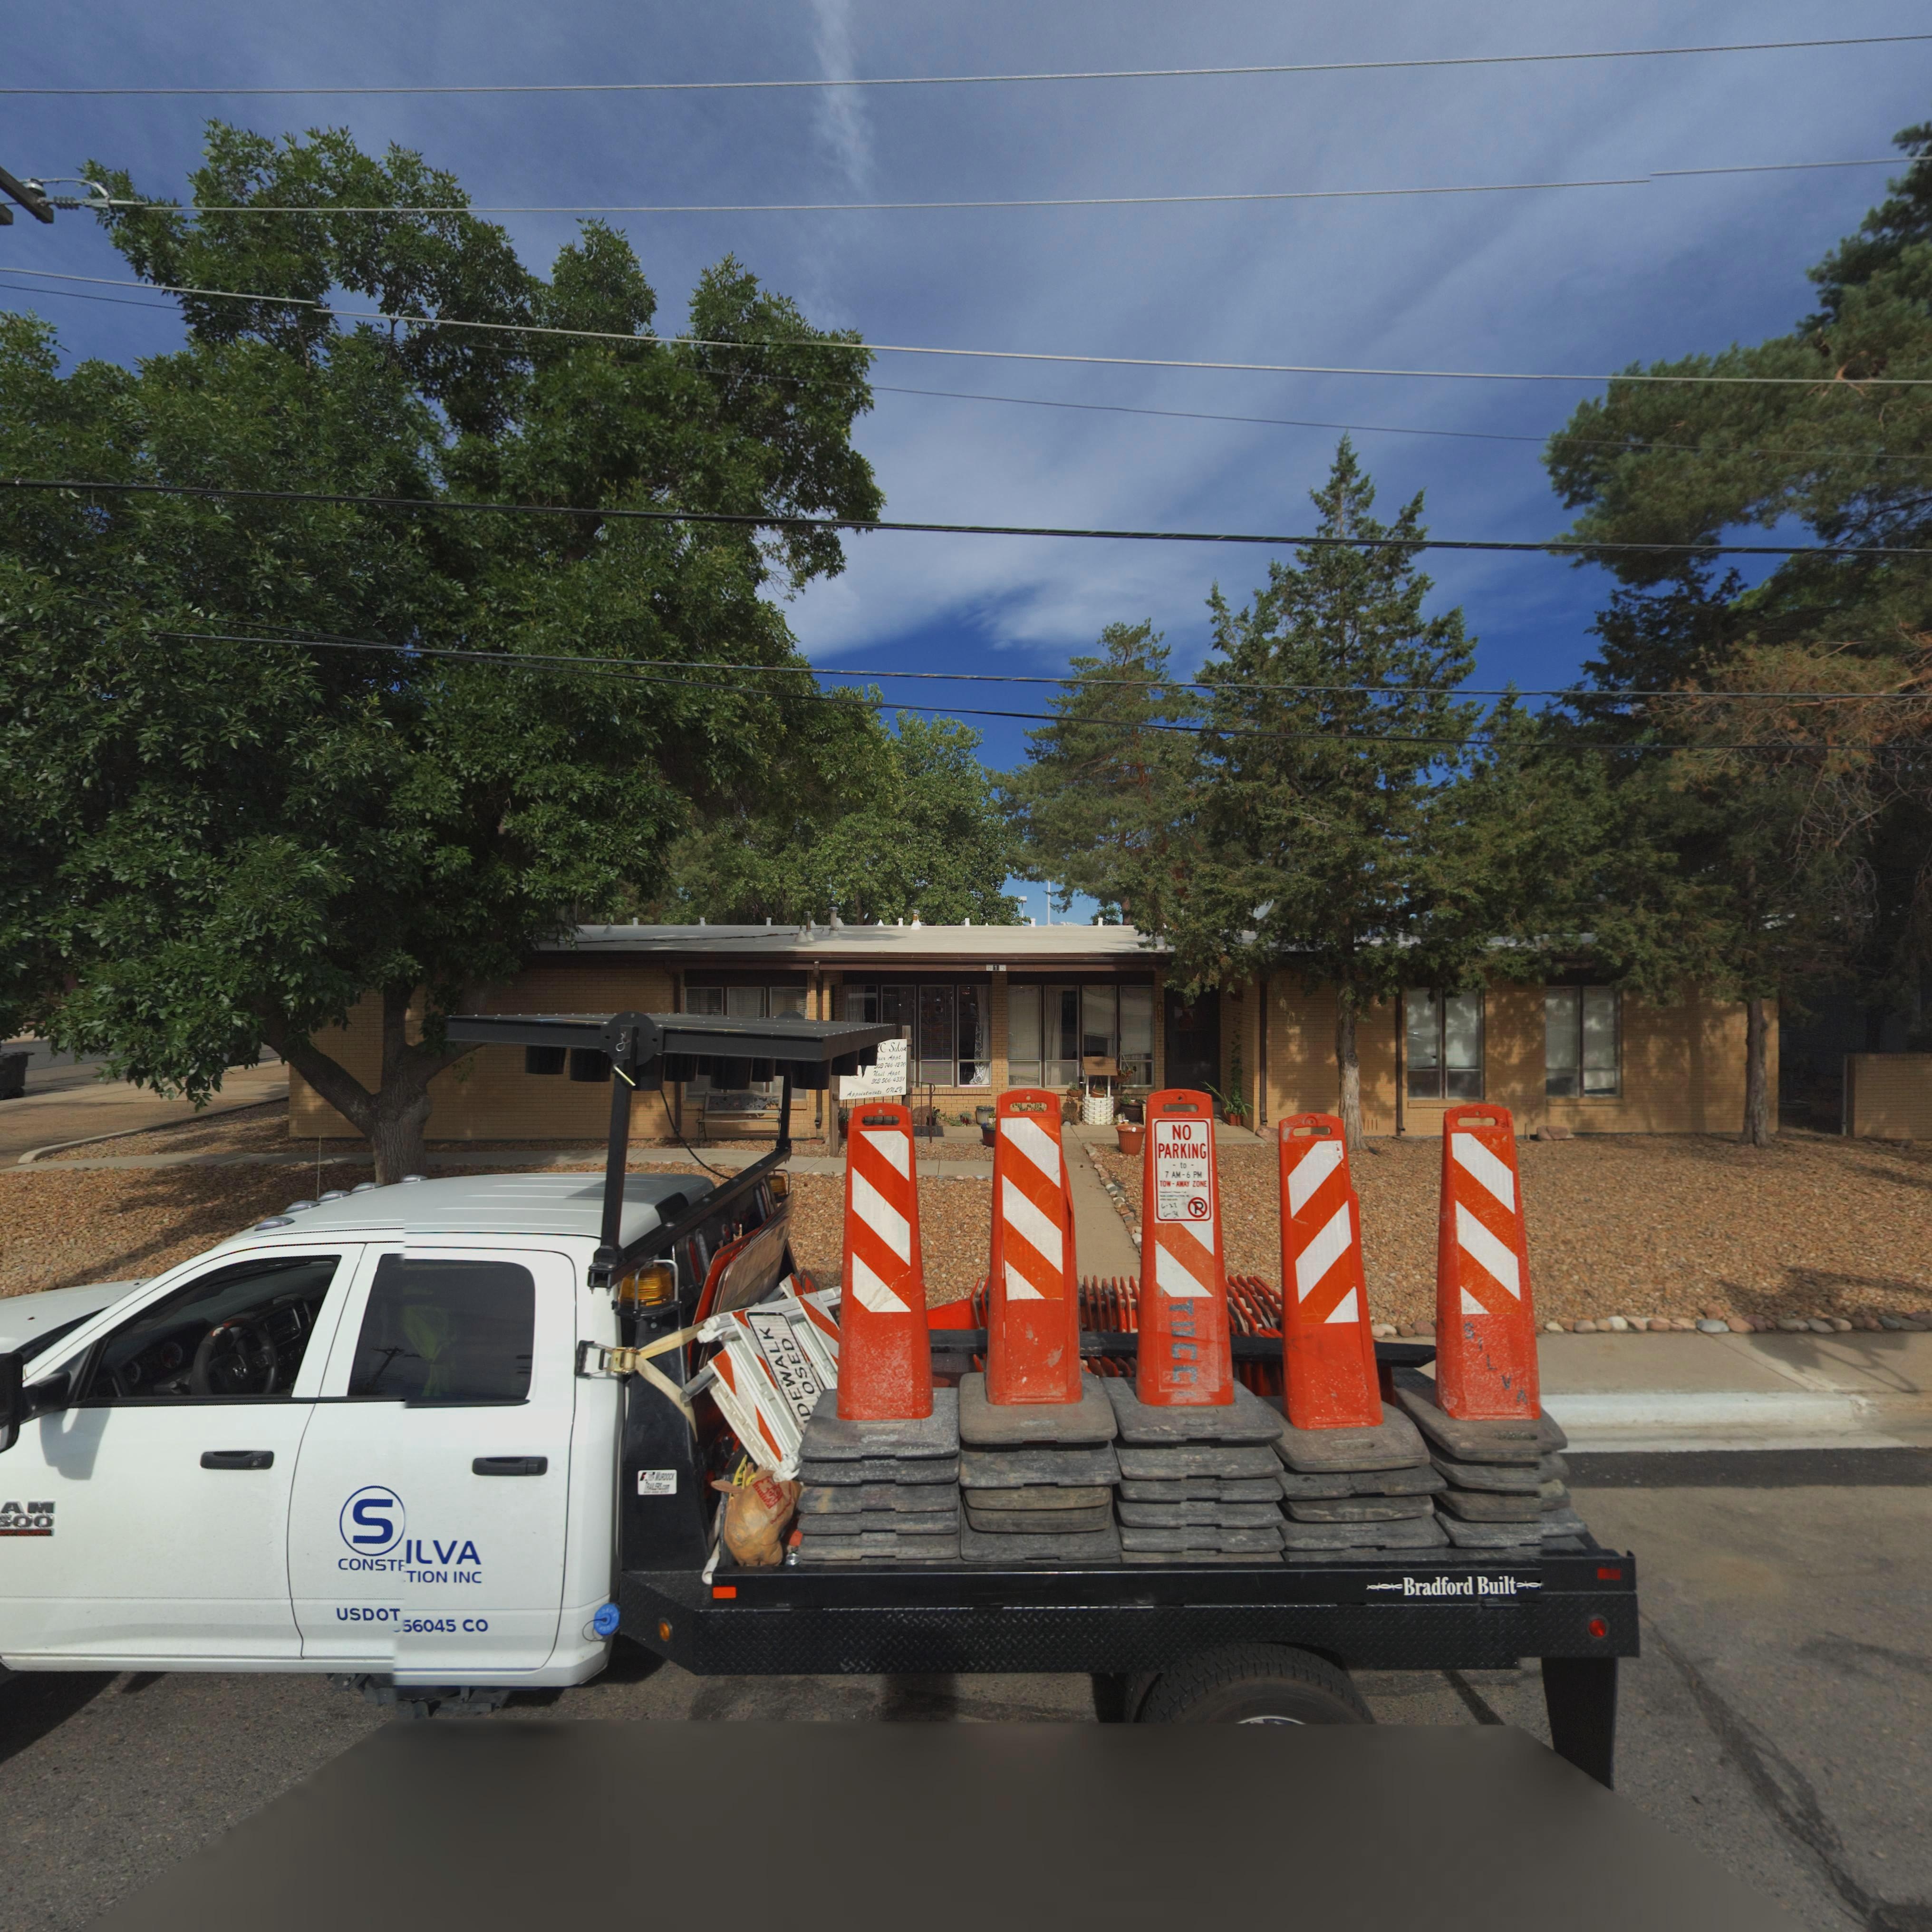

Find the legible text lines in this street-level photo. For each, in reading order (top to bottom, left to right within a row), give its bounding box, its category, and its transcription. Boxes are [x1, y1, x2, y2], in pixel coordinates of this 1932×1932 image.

[985, 964, 1006, 971] StreetNumber: 615
[873, 1042, 907, 1053] BusinessName: *C Salon